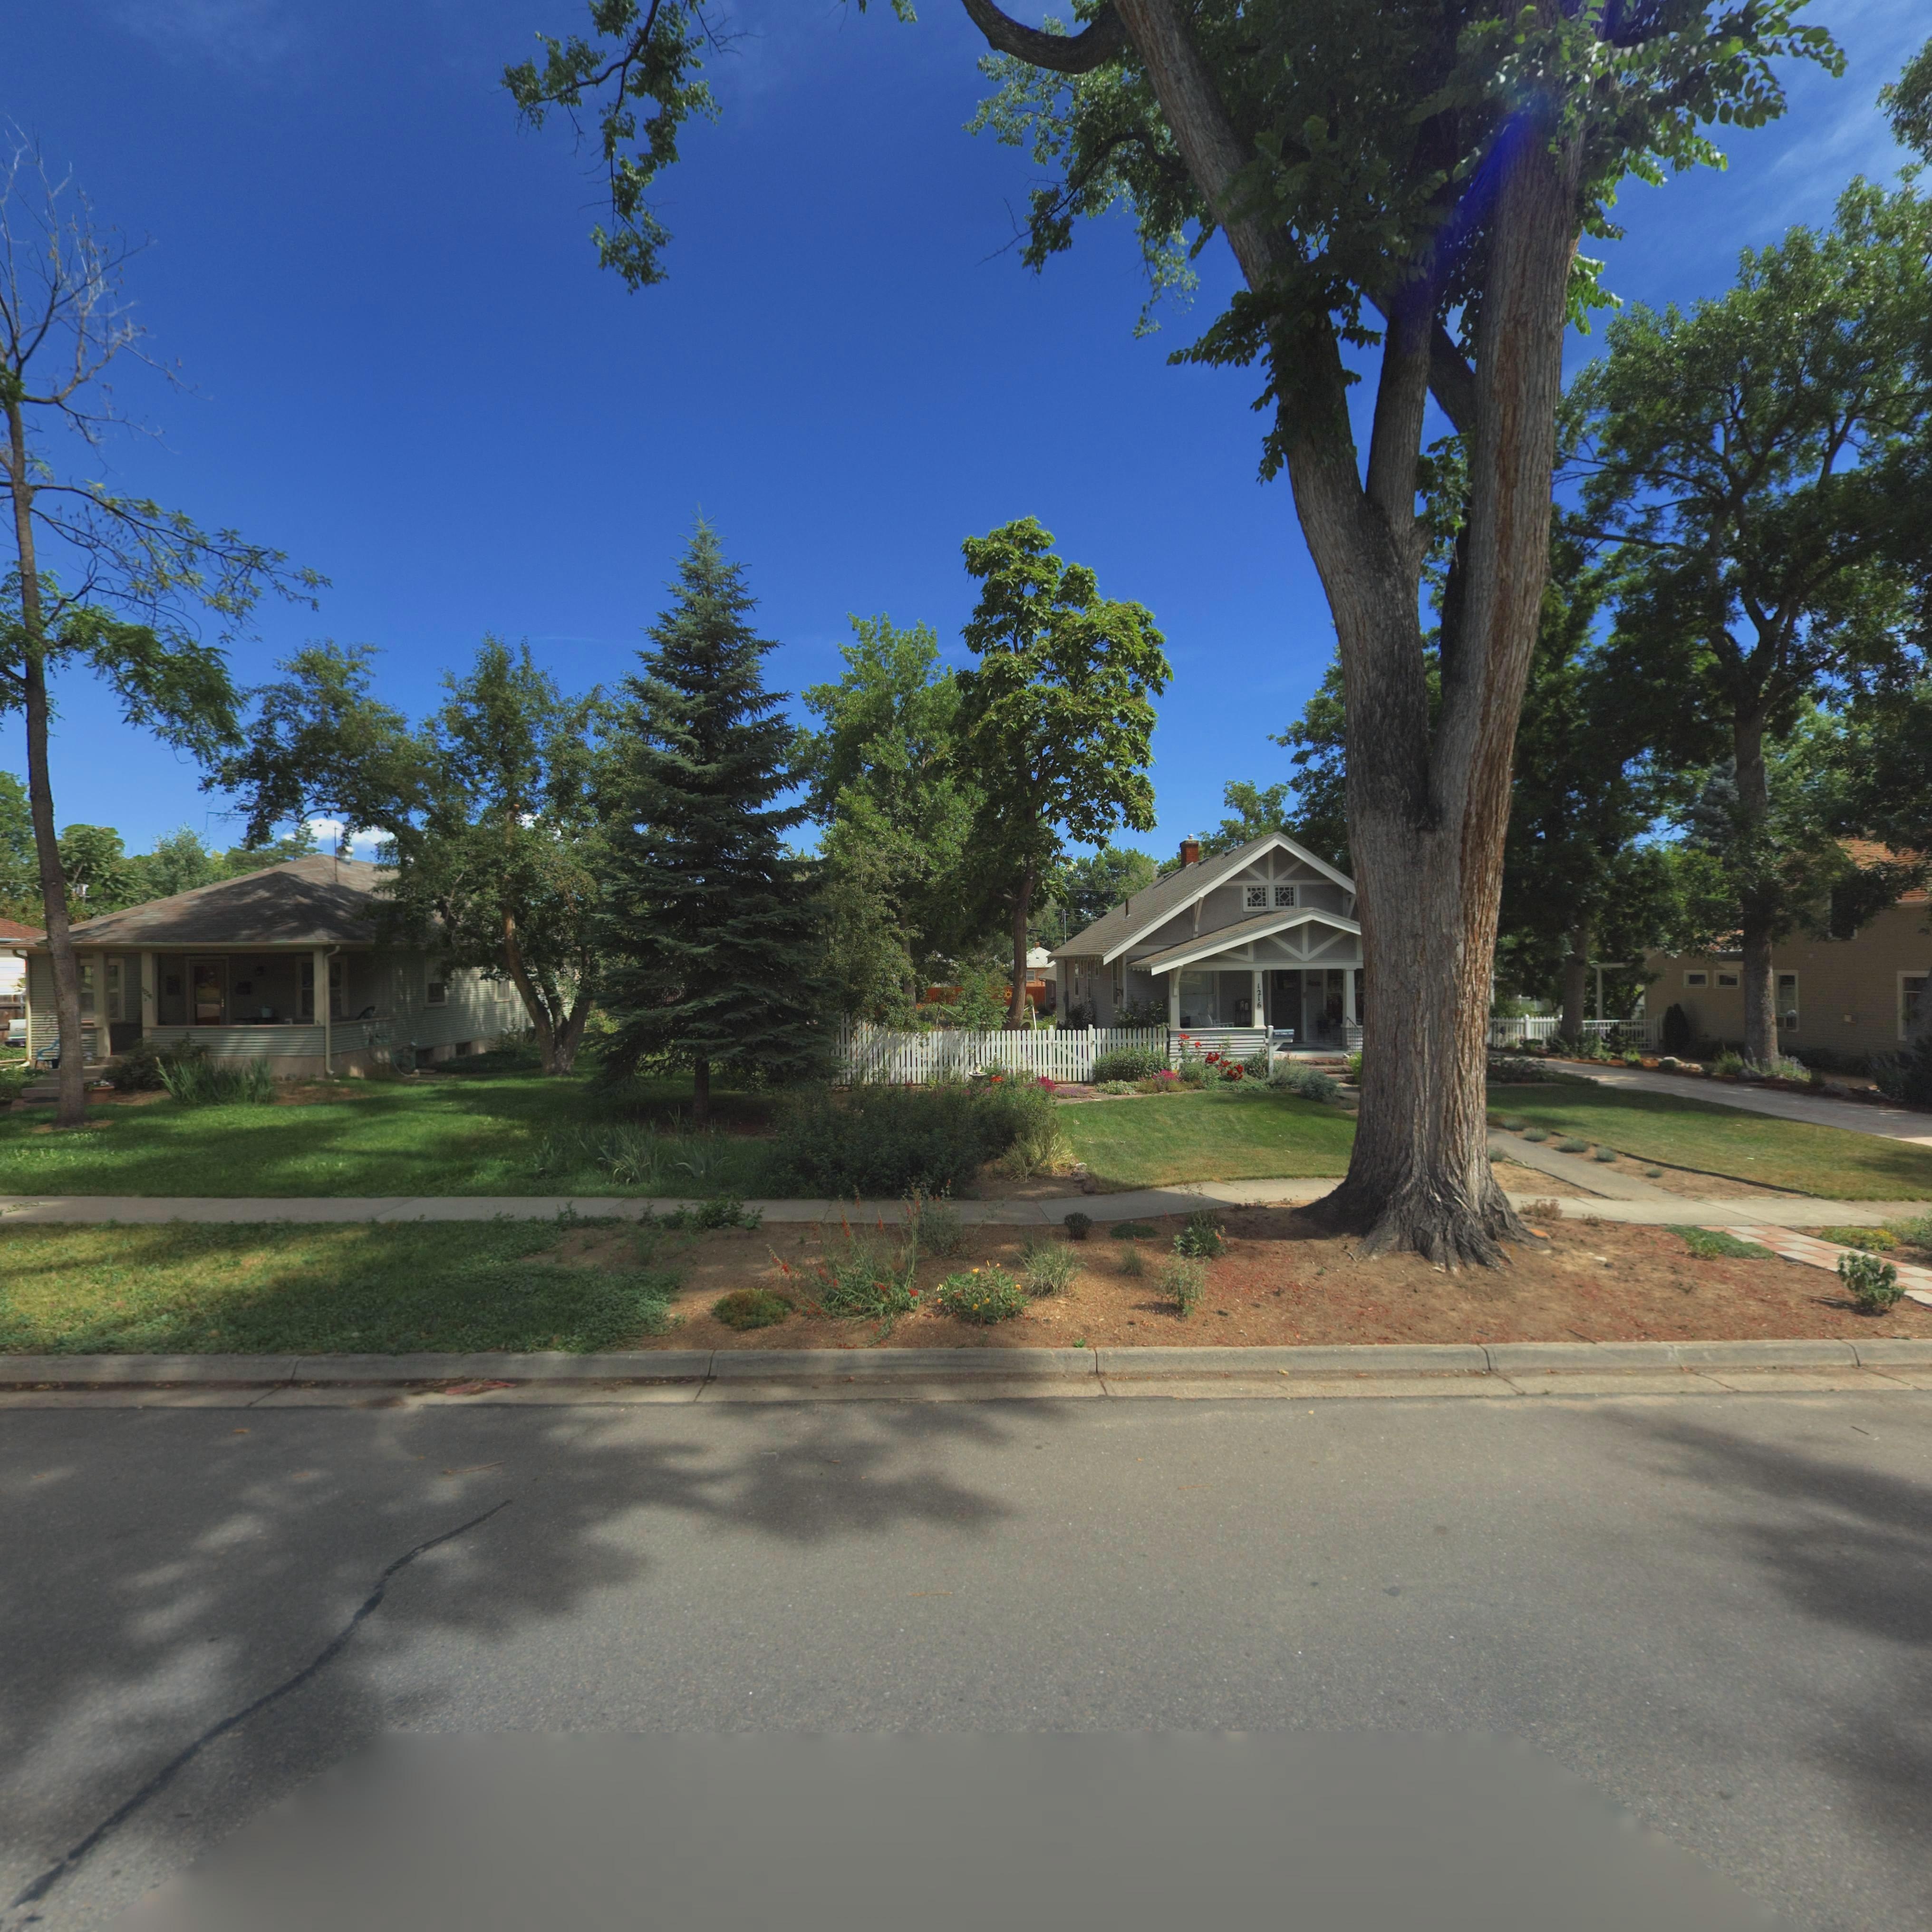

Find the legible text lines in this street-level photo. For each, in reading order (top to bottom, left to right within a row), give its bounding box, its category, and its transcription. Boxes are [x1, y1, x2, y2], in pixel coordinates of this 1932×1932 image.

[141, 986, 152, 999] StreetNumber: ***6
[1256, 982, 1261, 1008] StreetNumber: 1216